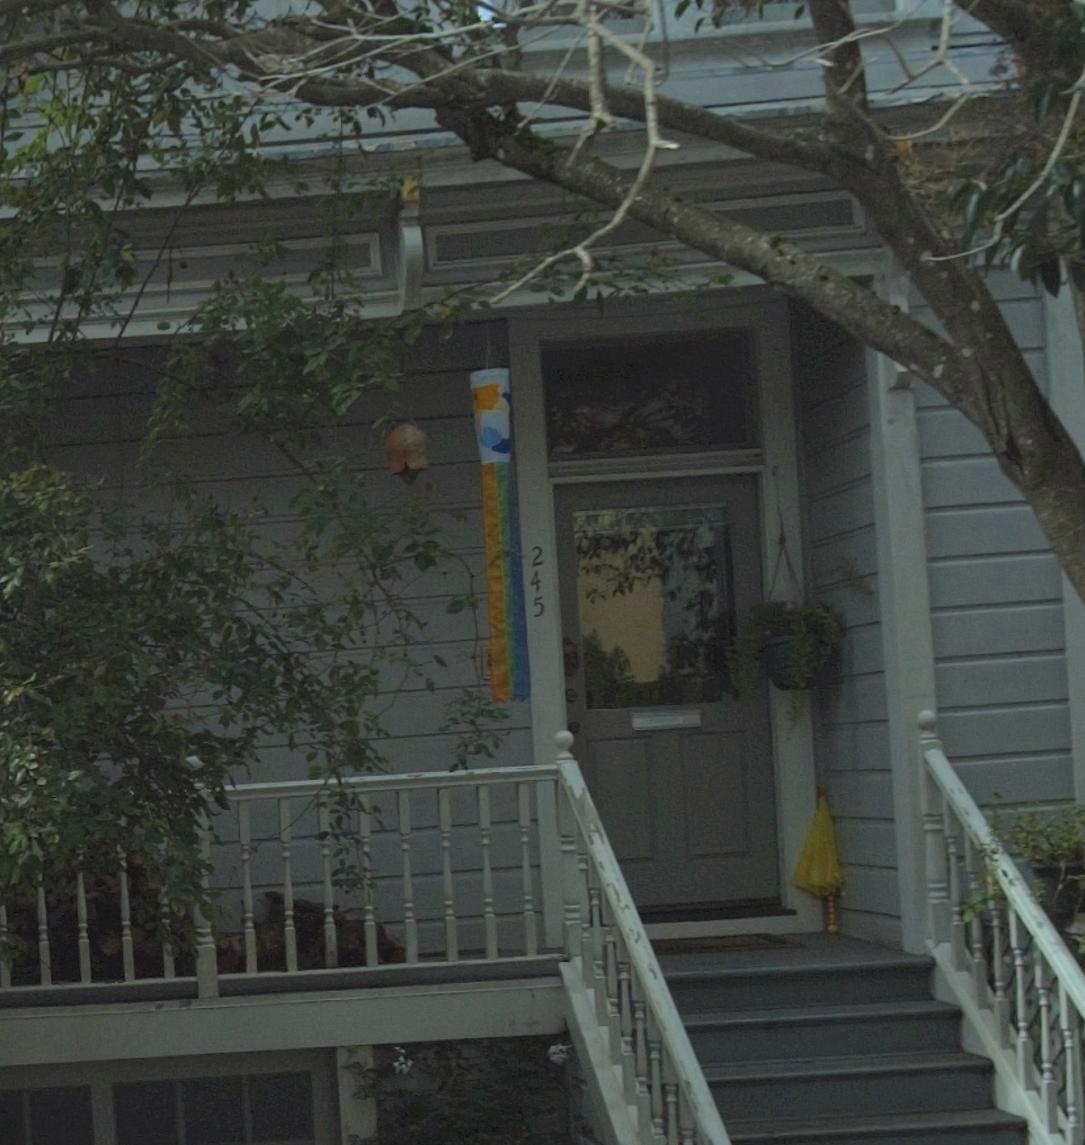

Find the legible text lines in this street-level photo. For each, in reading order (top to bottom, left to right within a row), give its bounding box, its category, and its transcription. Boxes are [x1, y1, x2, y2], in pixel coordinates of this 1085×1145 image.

[527, 543, 547, 622] StreetNumber: 245